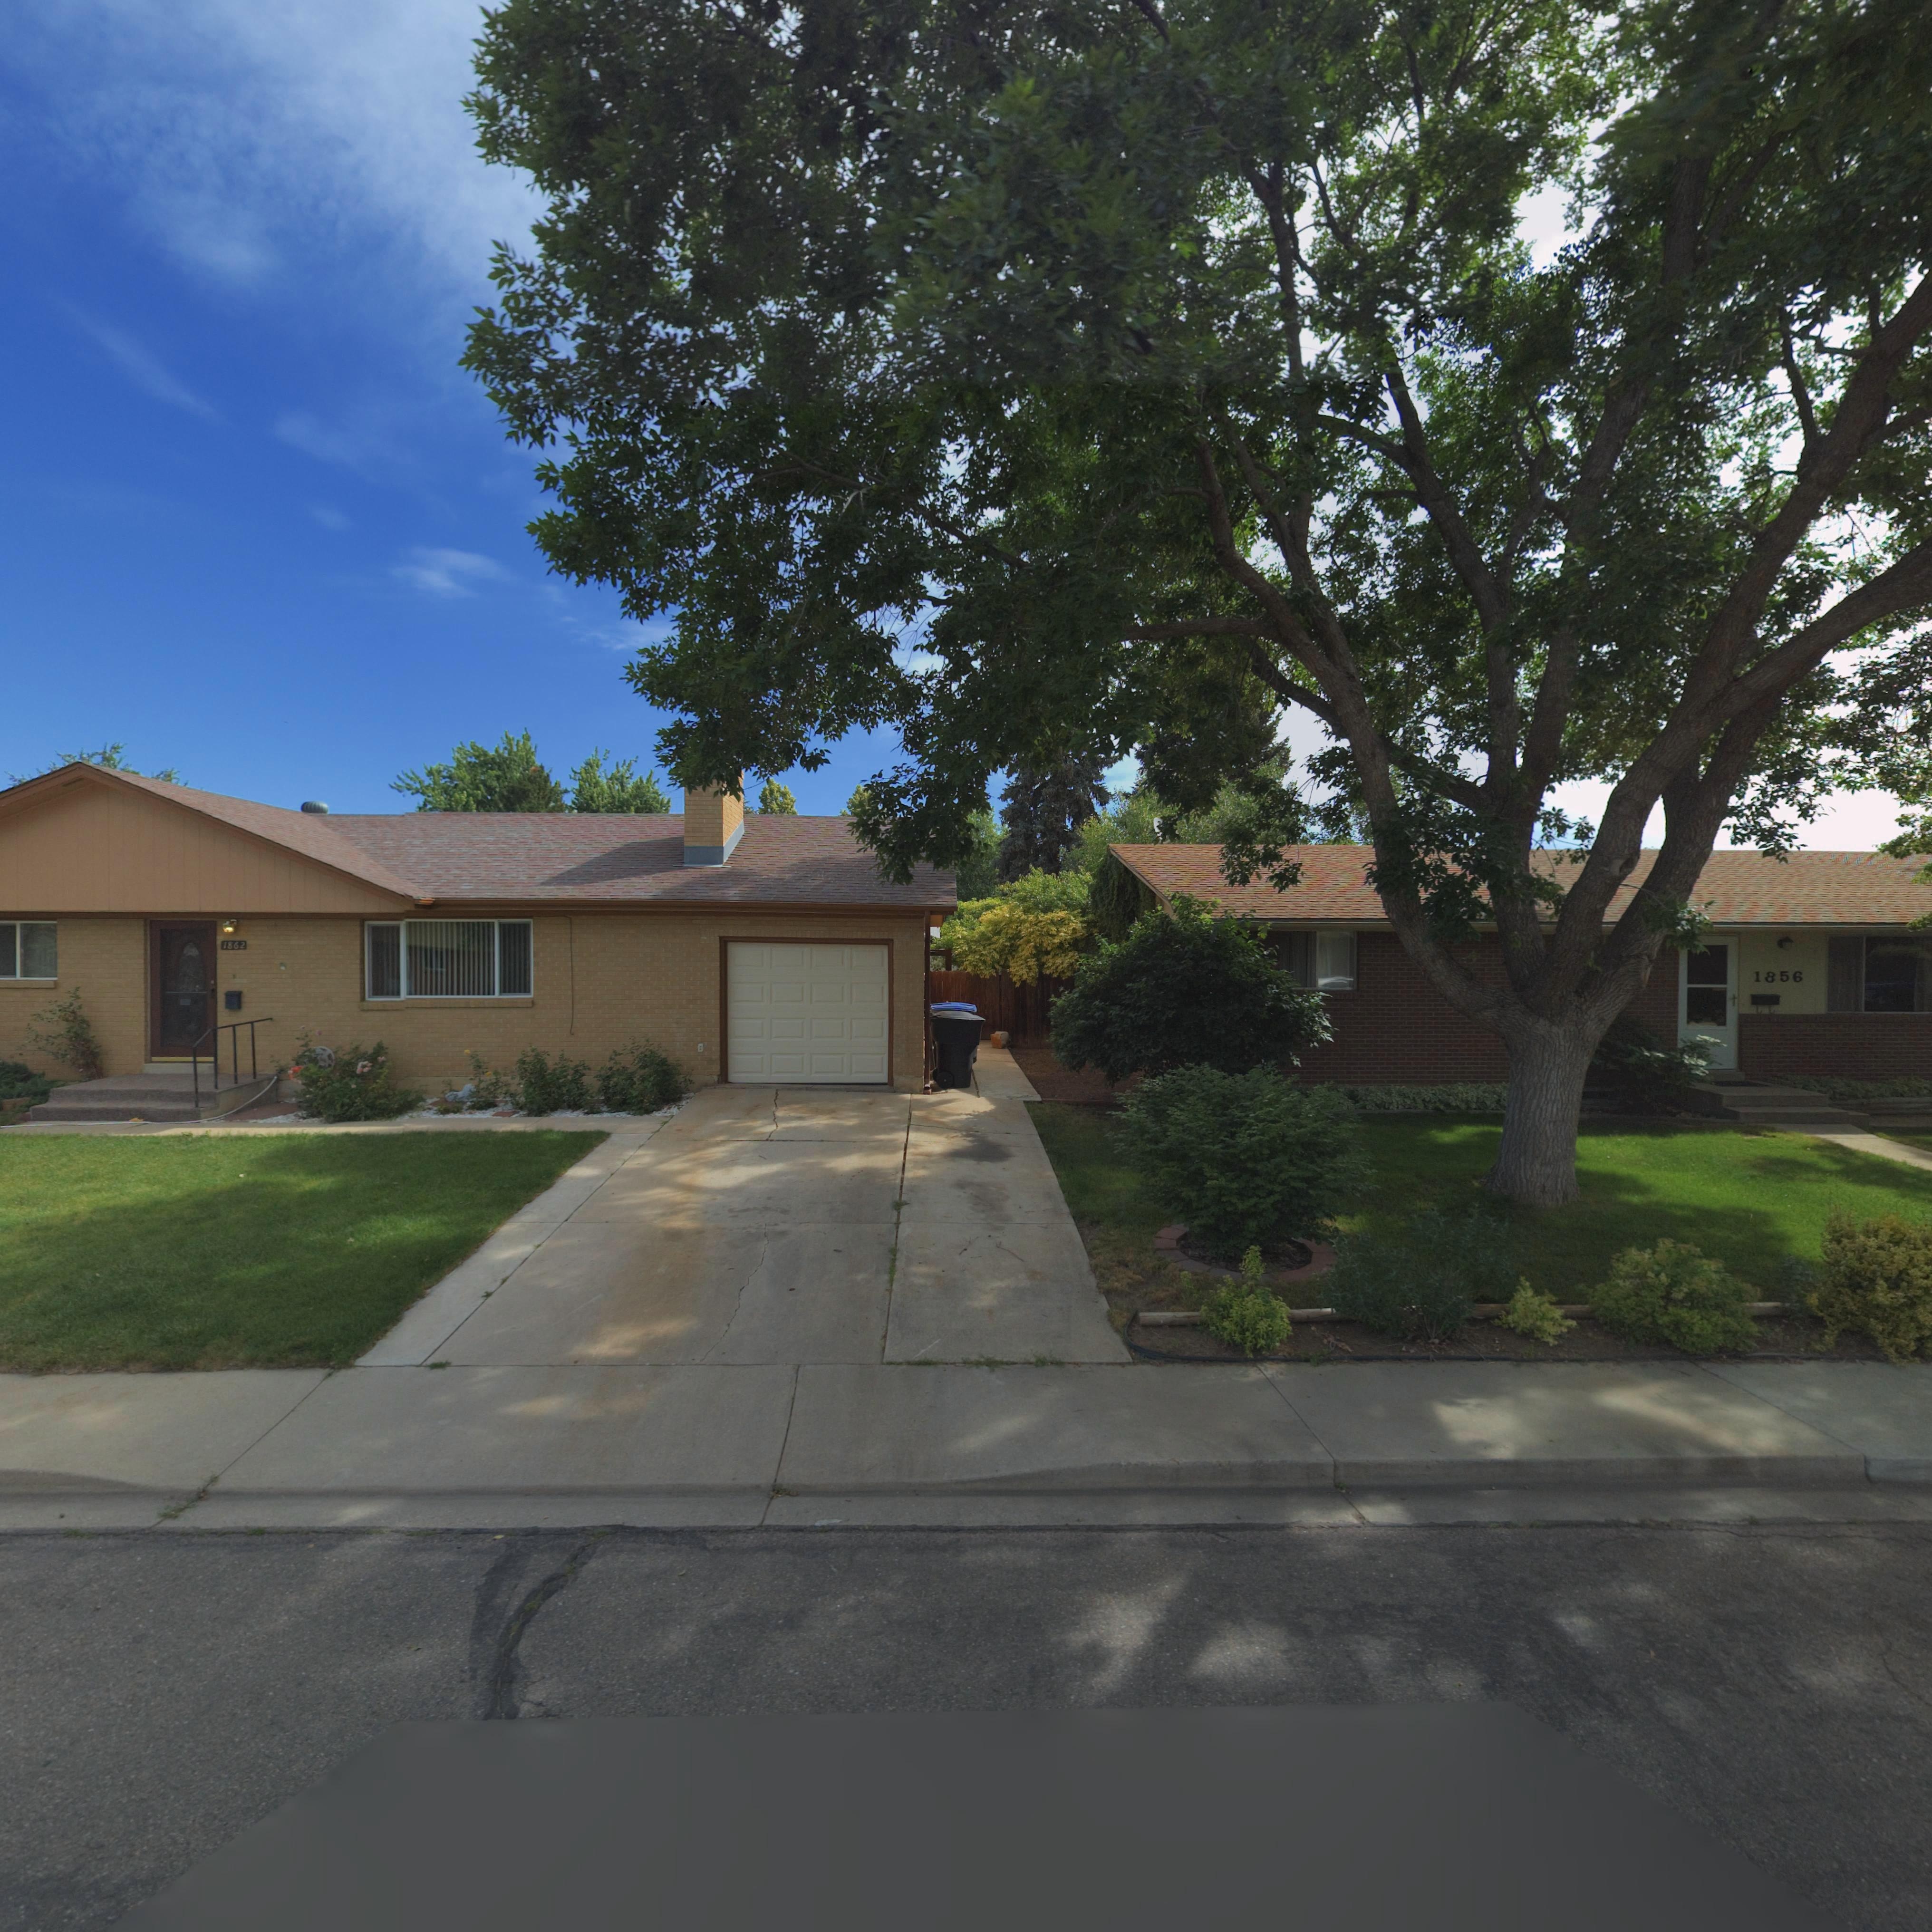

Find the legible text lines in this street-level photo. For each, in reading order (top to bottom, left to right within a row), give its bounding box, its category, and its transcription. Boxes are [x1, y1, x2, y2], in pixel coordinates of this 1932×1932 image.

[222, 940, 245, 949] StreetNumber: 1862
[1753, 970, 1803, 983] StreetNumber: 1856